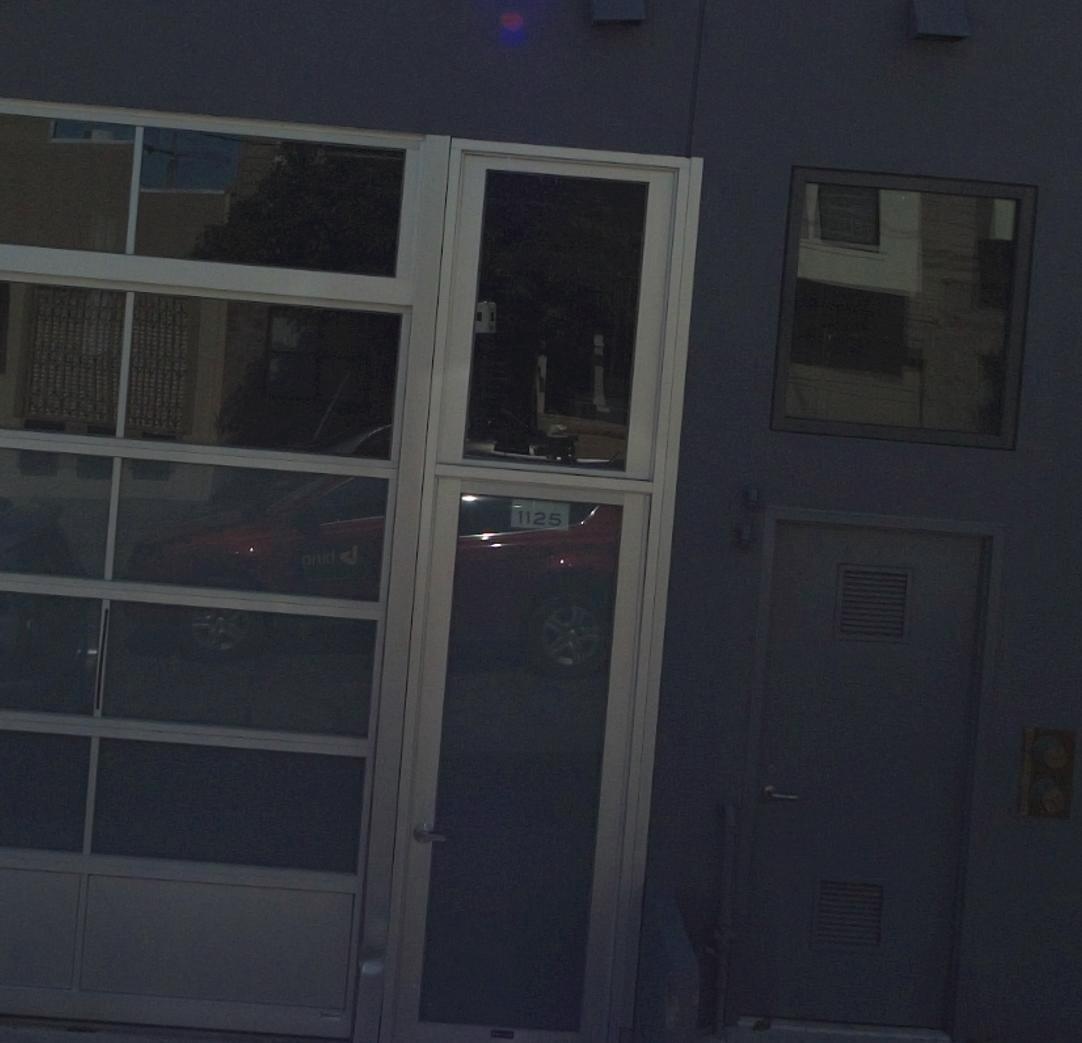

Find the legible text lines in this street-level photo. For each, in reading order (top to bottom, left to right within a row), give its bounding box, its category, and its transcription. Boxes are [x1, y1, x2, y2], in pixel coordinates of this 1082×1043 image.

[516, 509, 563, 528] StreetNumber: 1125
[300, 546, 336, 572] BusinessName: *nid